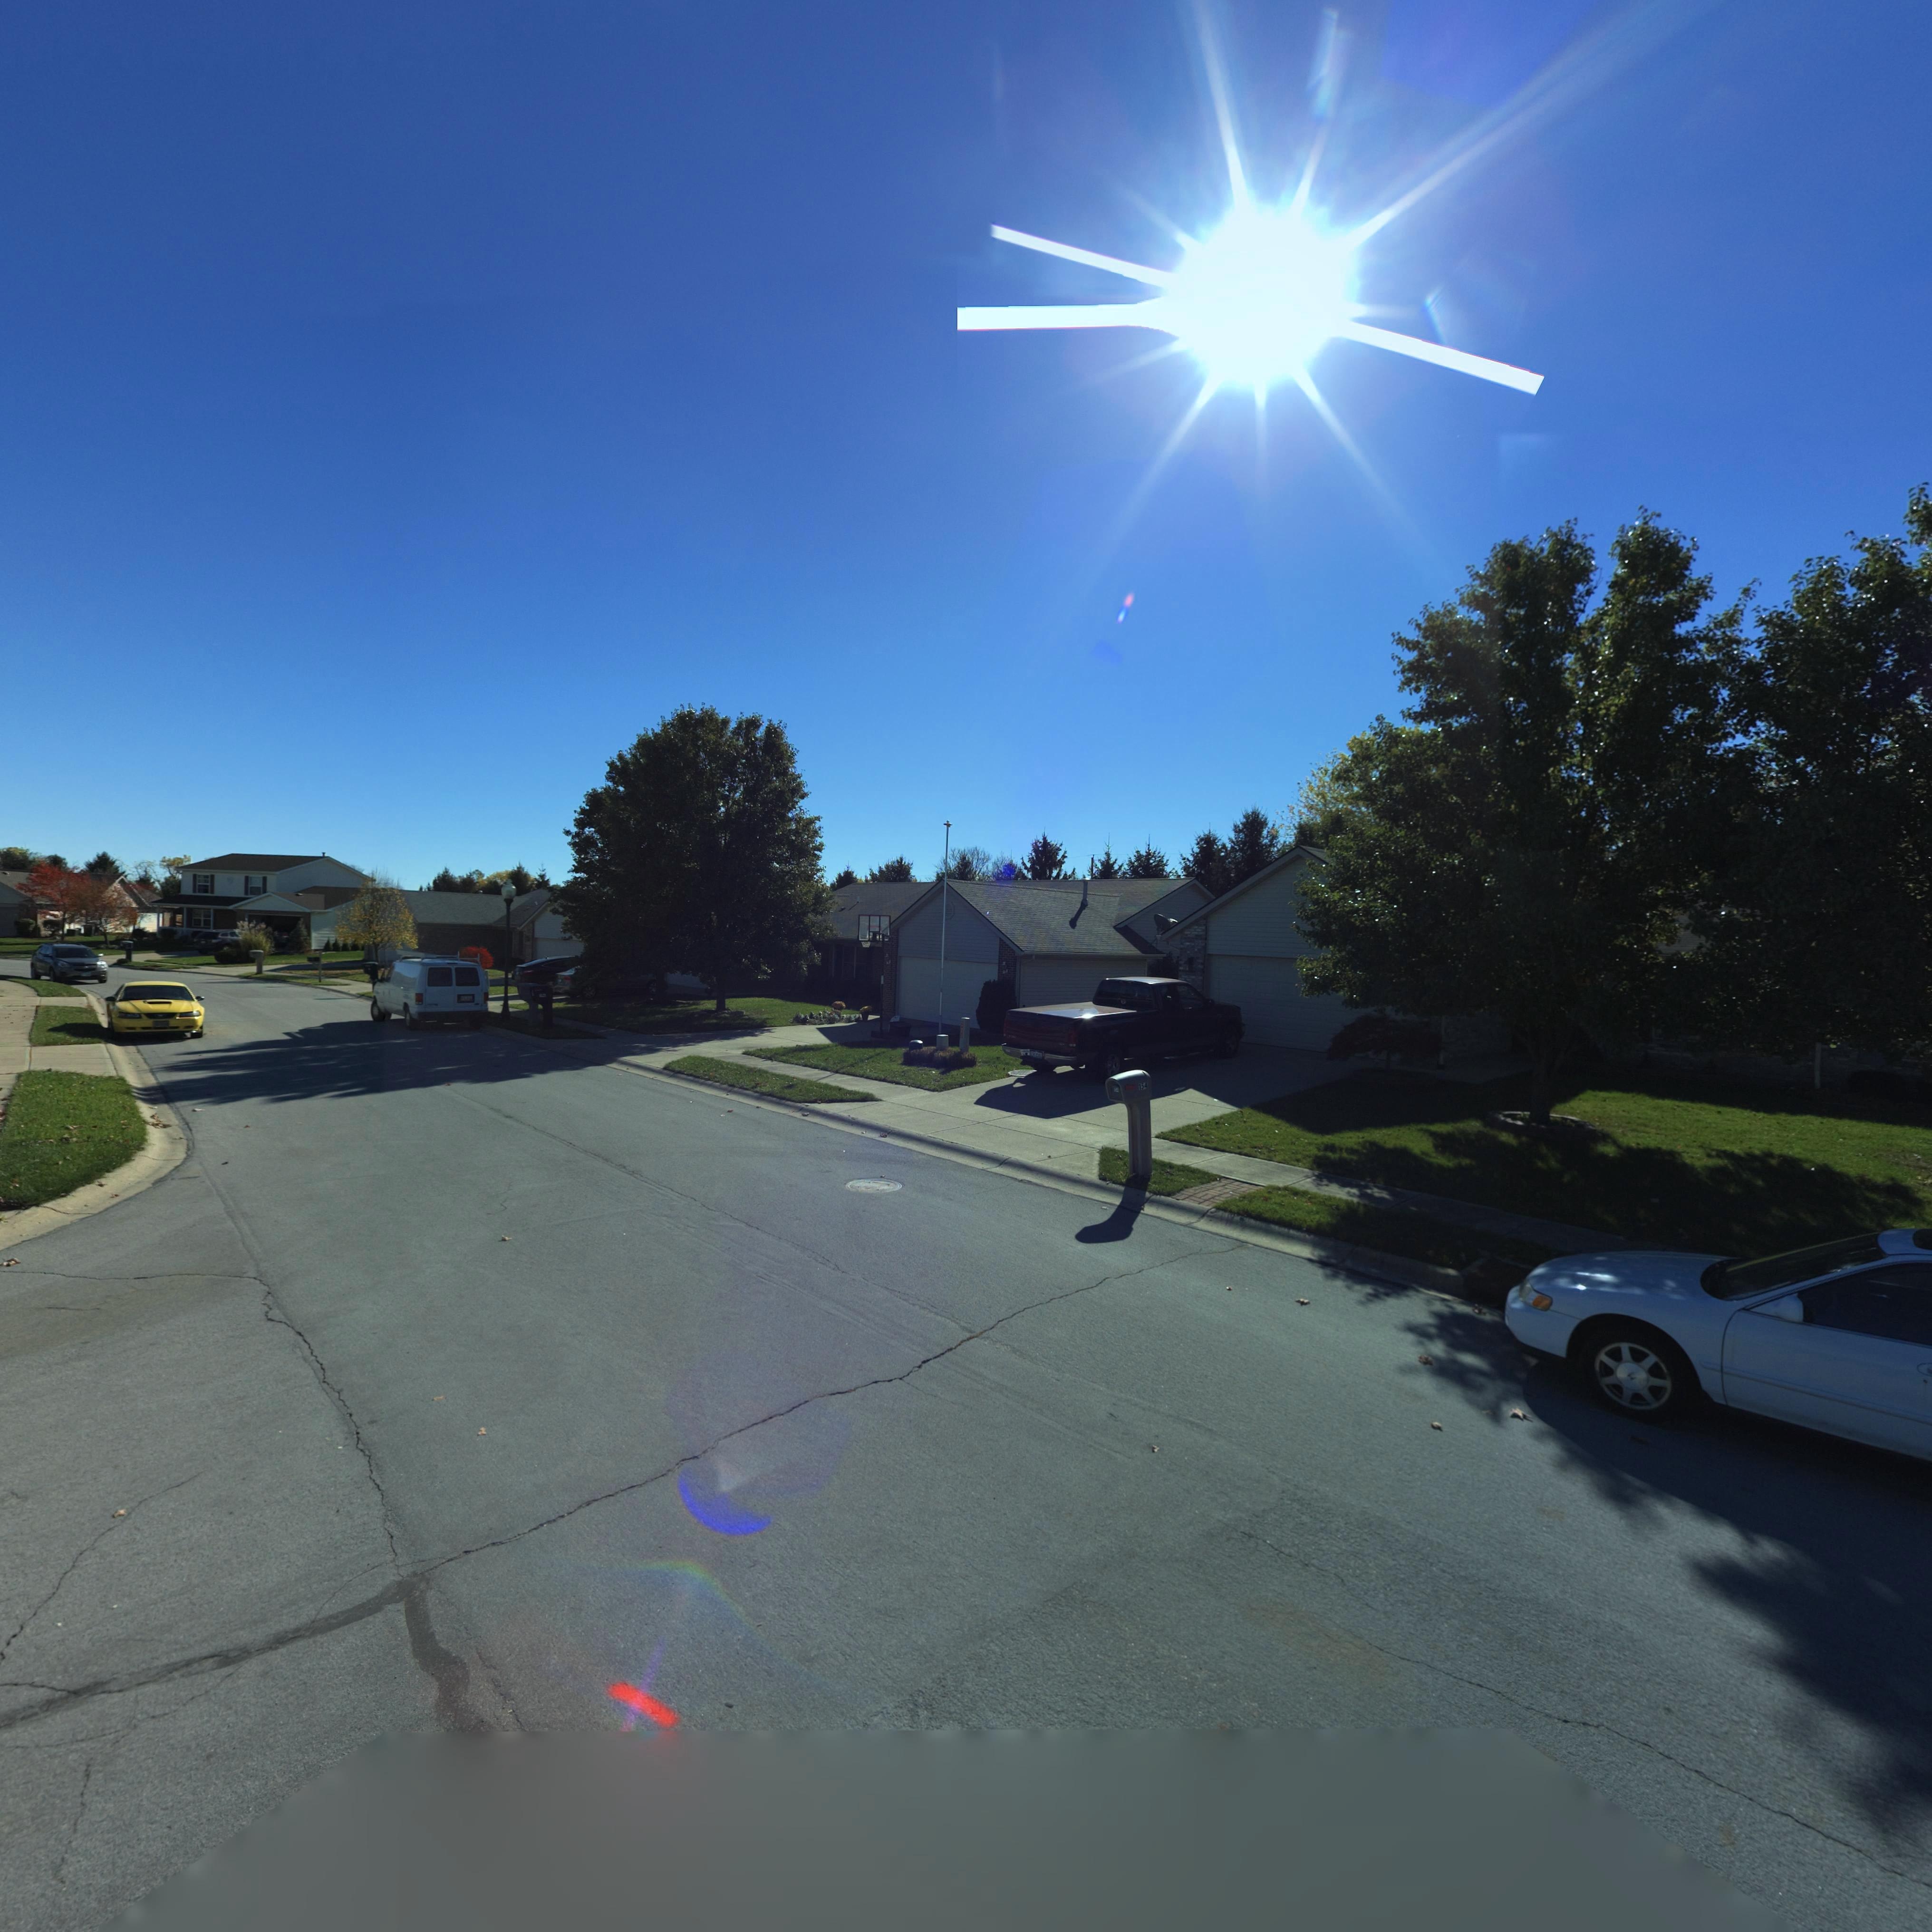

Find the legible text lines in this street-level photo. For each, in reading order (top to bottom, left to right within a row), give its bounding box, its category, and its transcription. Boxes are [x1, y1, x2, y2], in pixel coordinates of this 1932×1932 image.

[1138, 1082, 1148, 1091] StreetNumber: 154